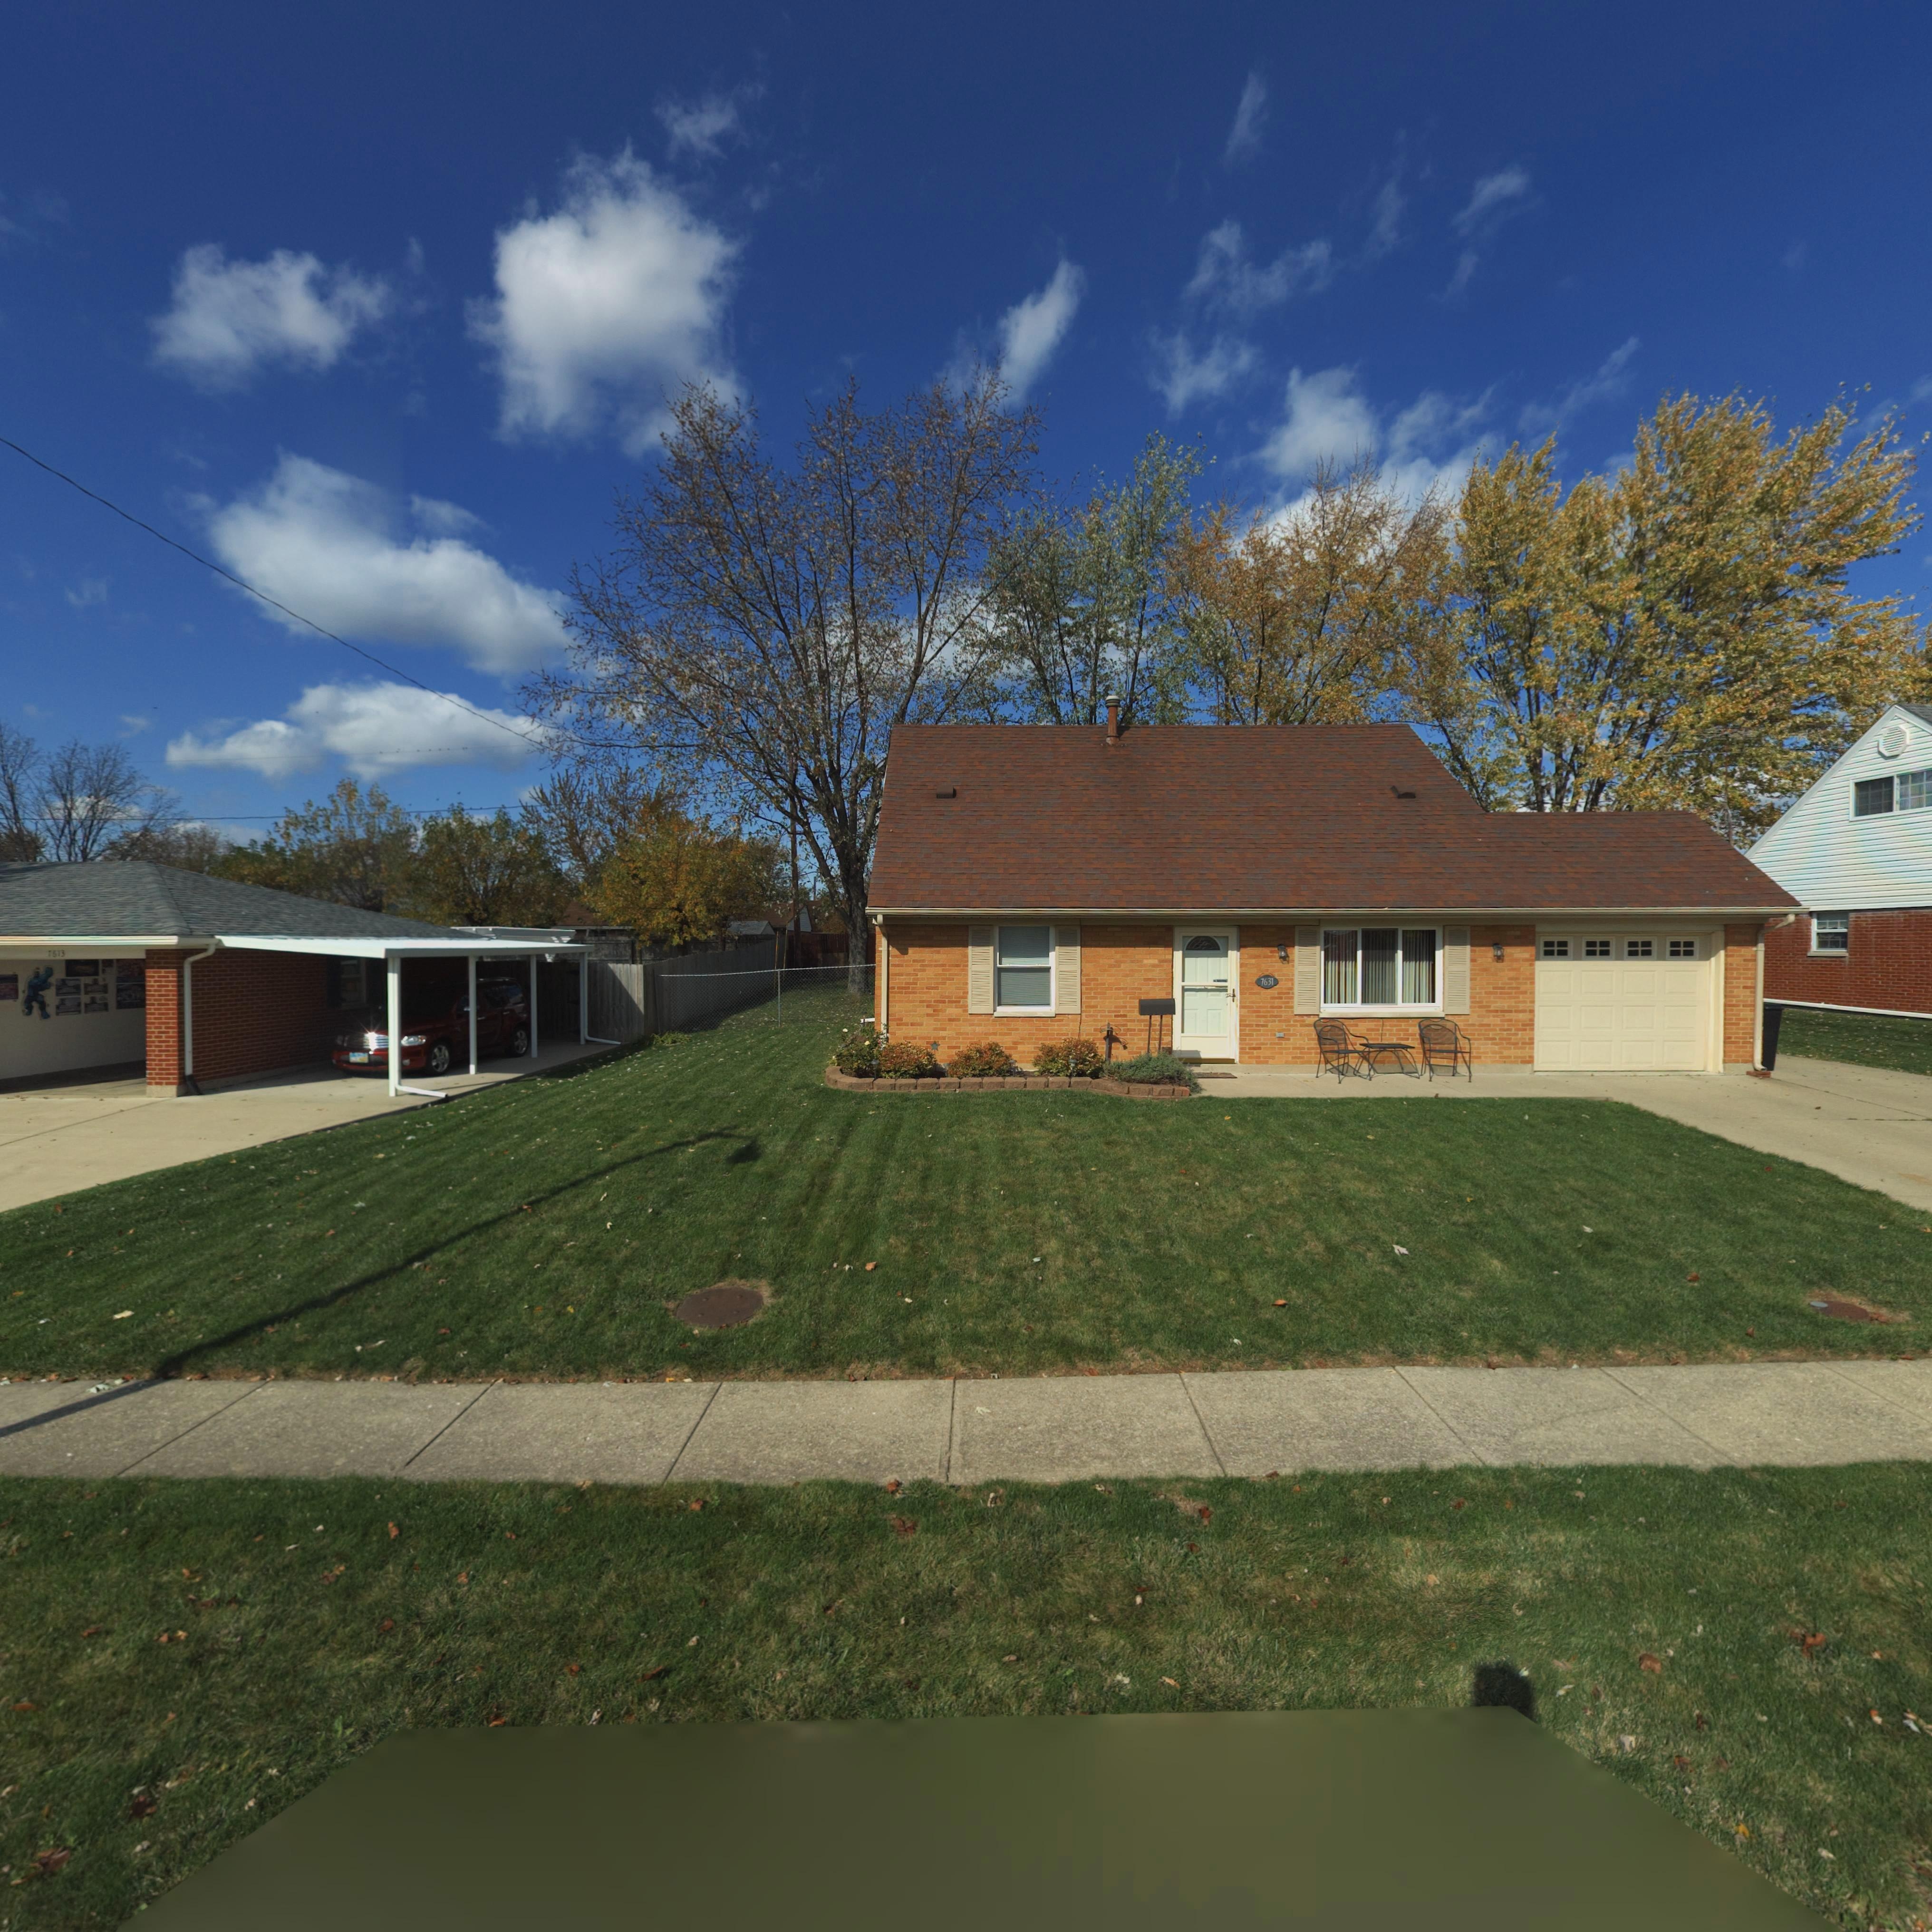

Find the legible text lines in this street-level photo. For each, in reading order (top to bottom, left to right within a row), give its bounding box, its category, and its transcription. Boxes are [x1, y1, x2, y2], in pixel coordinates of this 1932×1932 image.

[47, 949, 65, 958] StreetNumber: 7613
[1260, 977, 1274, 986] StreetNumber: 7631